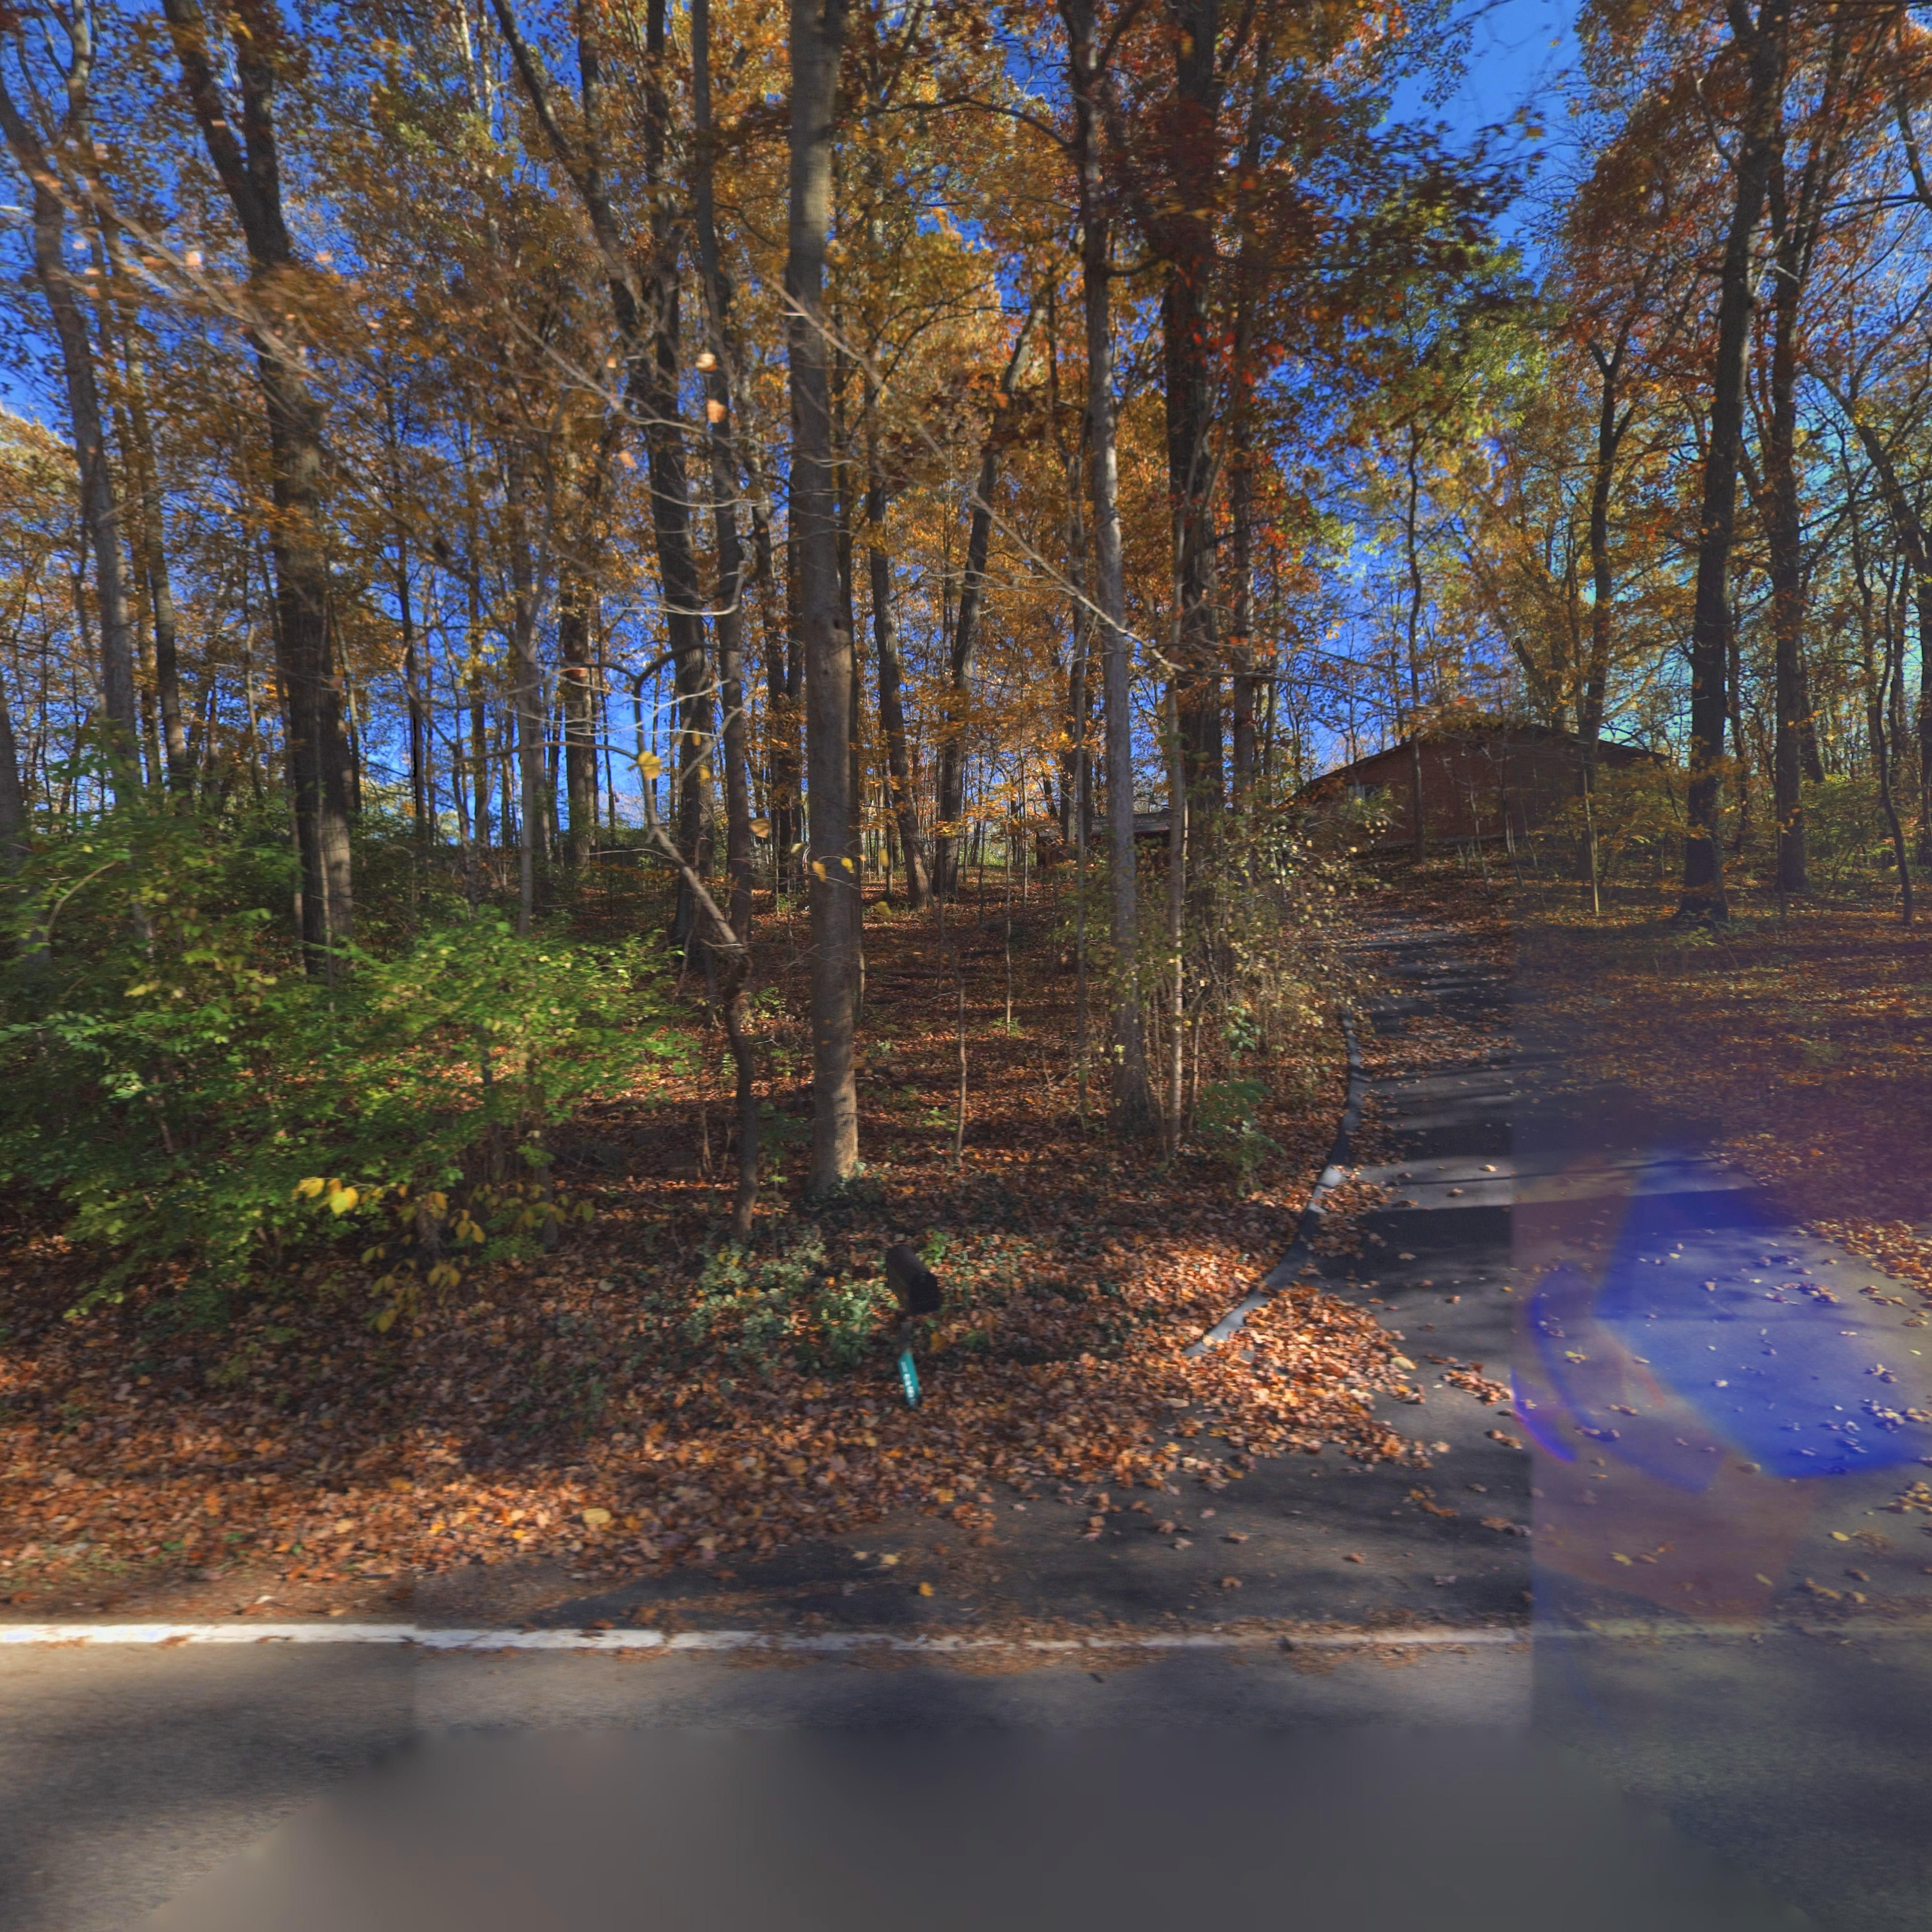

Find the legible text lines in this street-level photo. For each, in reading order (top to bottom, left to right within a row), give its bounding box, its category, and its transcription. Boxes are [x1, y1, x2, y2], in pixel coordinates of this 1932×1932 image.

[898, 1359, 919, 1409] StreetNumber: 1280